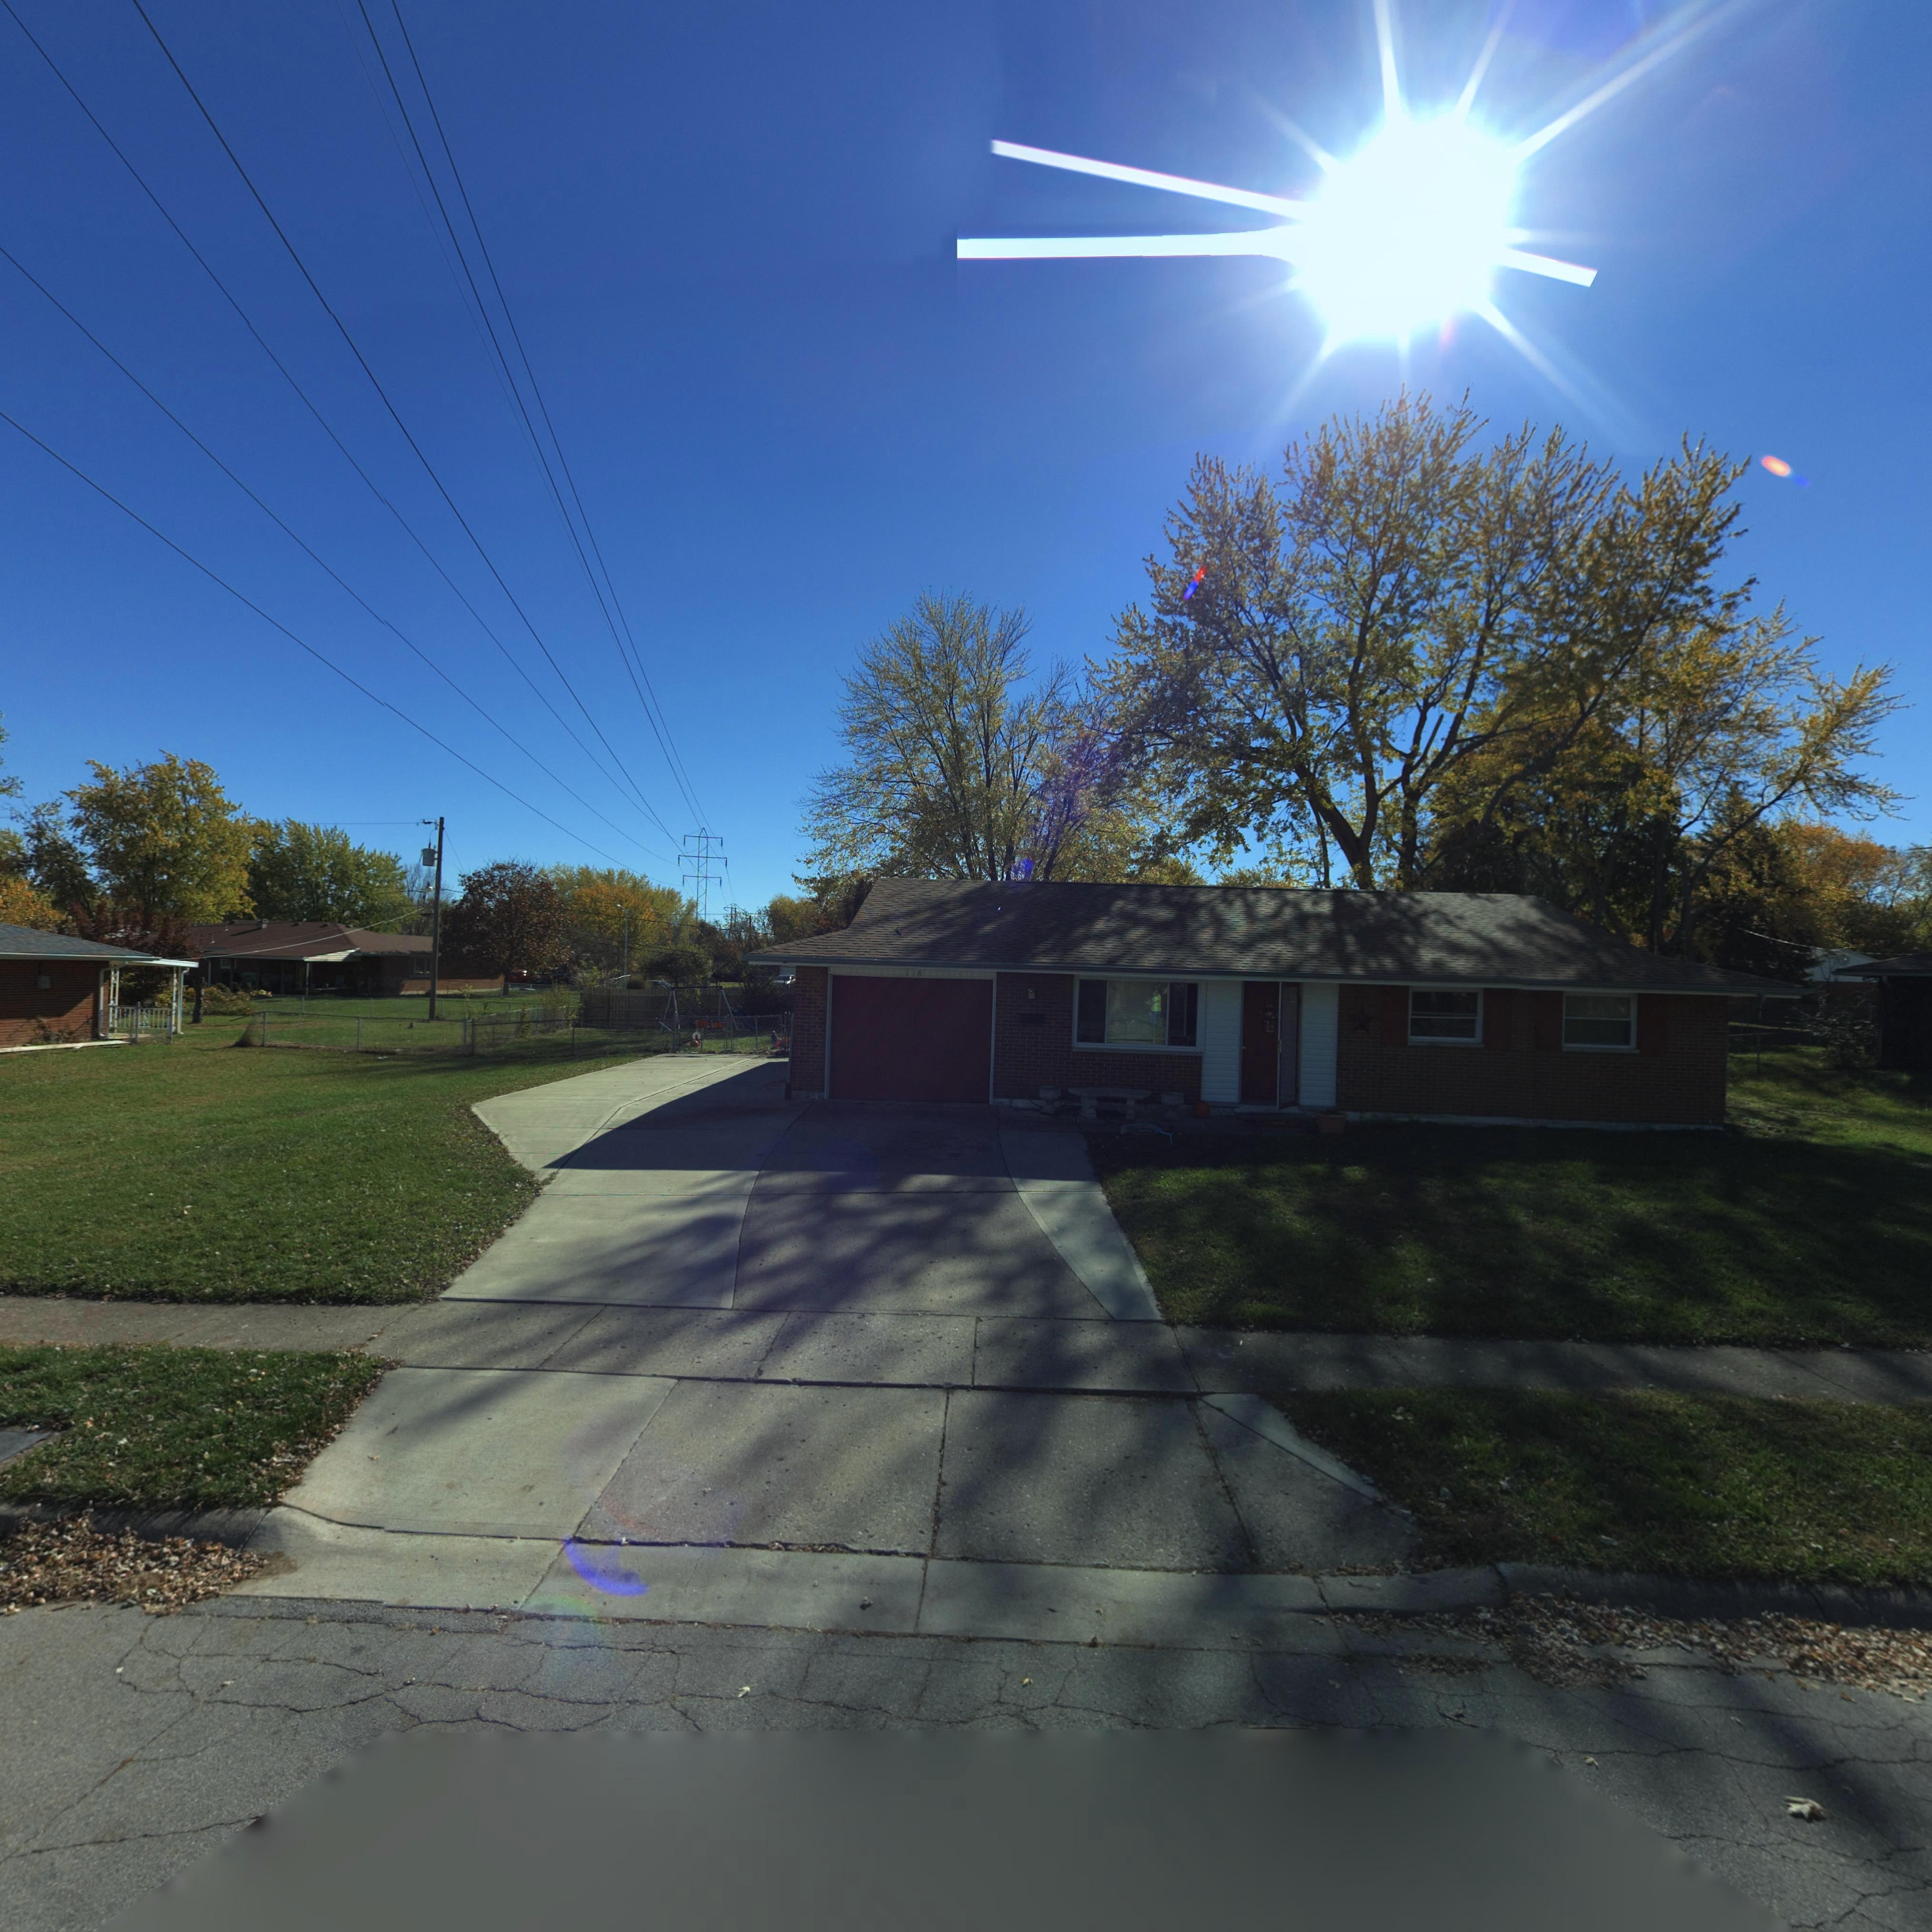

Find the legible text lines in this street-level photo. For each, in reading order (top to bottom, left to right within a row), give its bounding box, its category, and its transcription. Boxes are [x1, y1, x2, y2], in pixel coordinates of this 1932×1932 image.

[905, 969, 924, 978] StreetNumber: 116